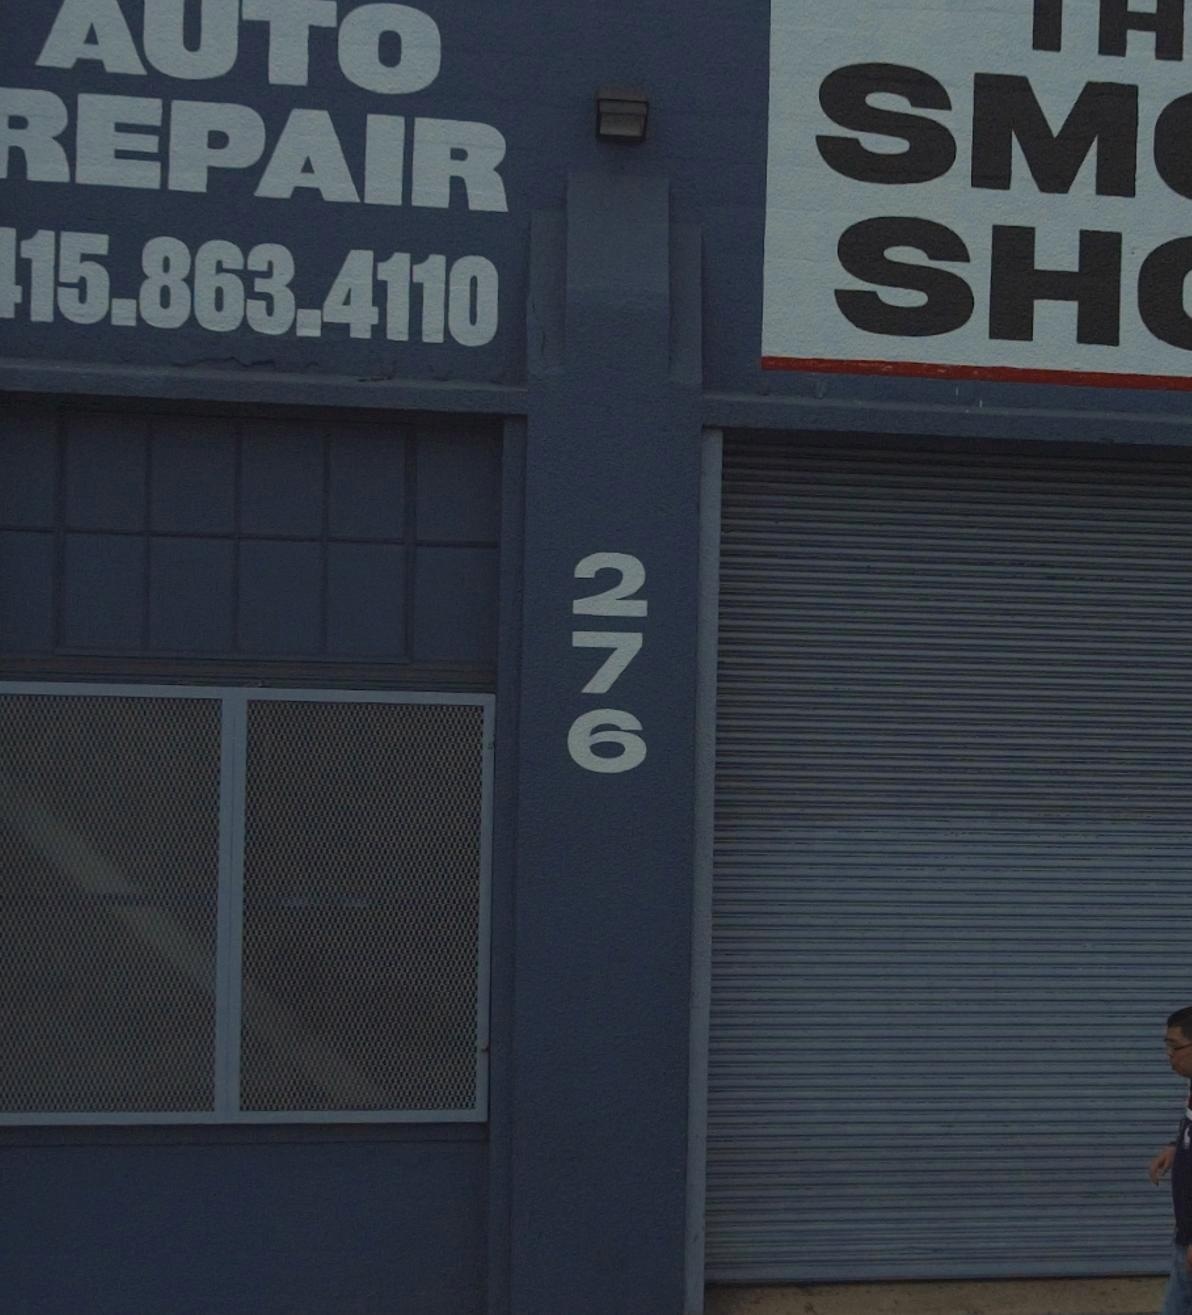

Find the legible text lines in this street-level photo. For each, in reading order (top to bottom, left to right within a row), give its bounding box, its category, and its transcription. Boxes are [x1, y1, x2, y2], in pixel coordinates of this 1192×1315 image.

[322, 1, 451, 104] None: O
[65, 84, 518, 222] None: EPAIR
[805, 50, 1149, 210] None: SM
[13, 218, 506, 355] None: 15.863.4110
[825, 206, 1131, 354] None: SH
[563, 549, 654, 777] StreetNumber: 276